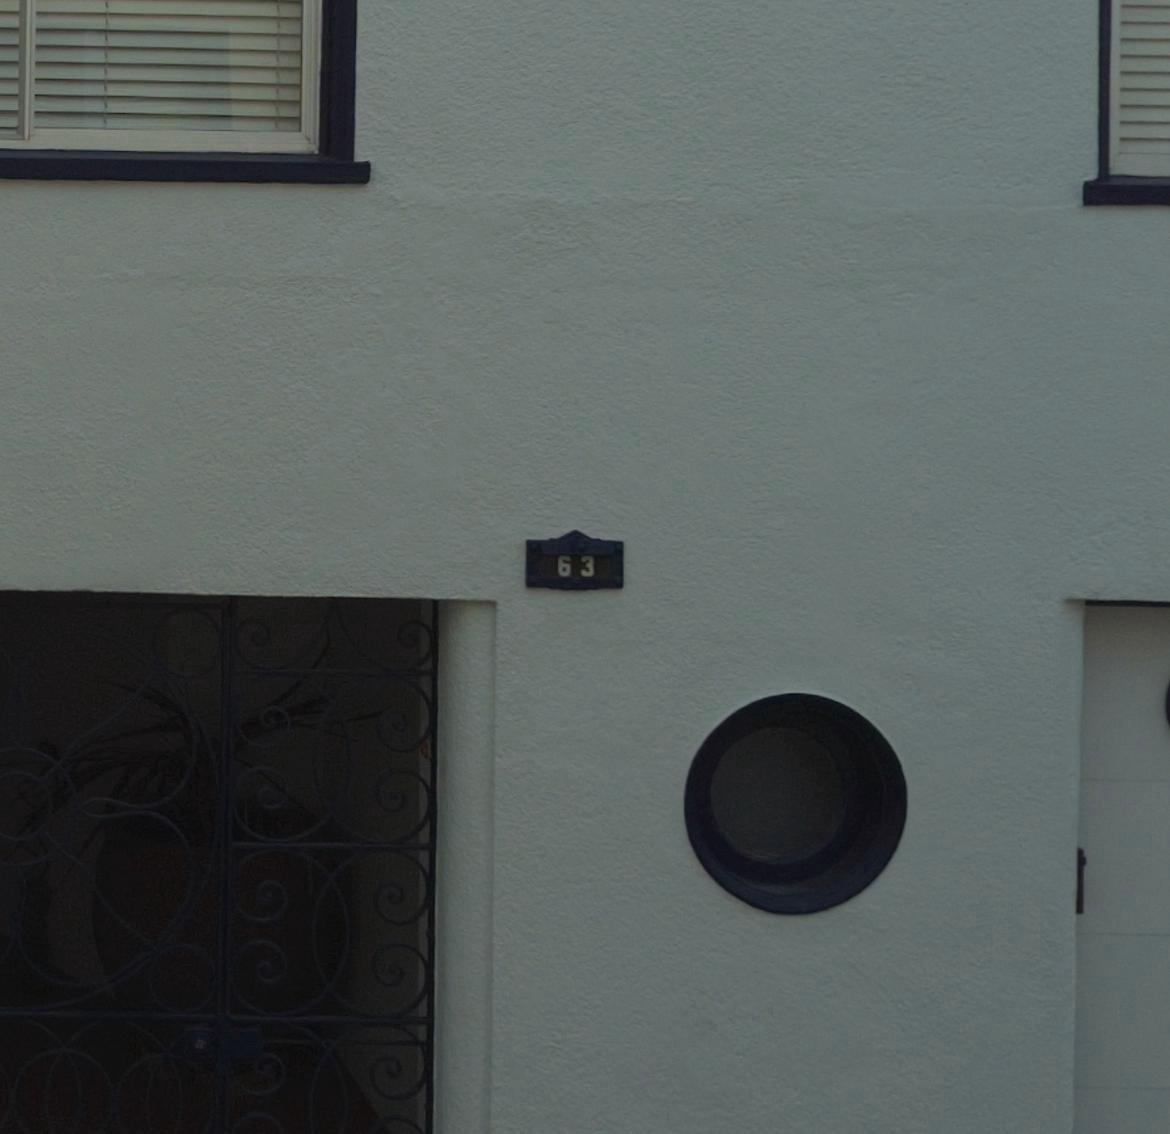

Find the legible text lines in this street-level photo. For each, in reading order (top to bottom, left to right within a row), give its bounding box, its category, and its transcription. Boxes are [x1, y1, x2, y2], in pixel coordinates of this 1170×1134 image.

[556, 554, 596, 579] StreetNumber: 63